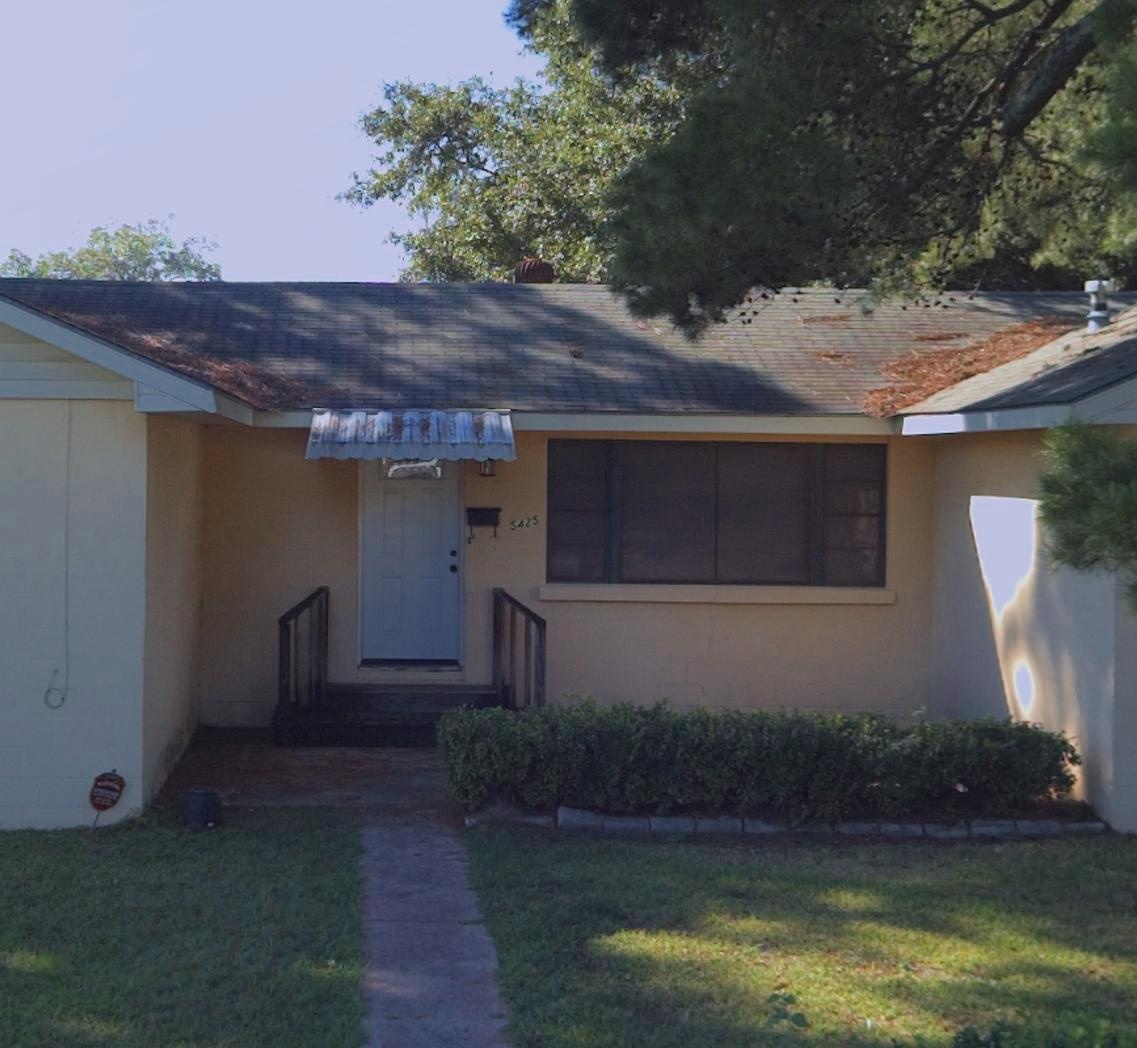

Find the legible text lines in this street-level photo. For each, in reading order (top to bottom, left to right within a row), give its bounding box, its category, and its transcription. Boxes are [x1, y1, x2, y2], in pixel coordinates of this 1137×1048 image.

[510, 514, 539, 532] StreetNumber: 5425